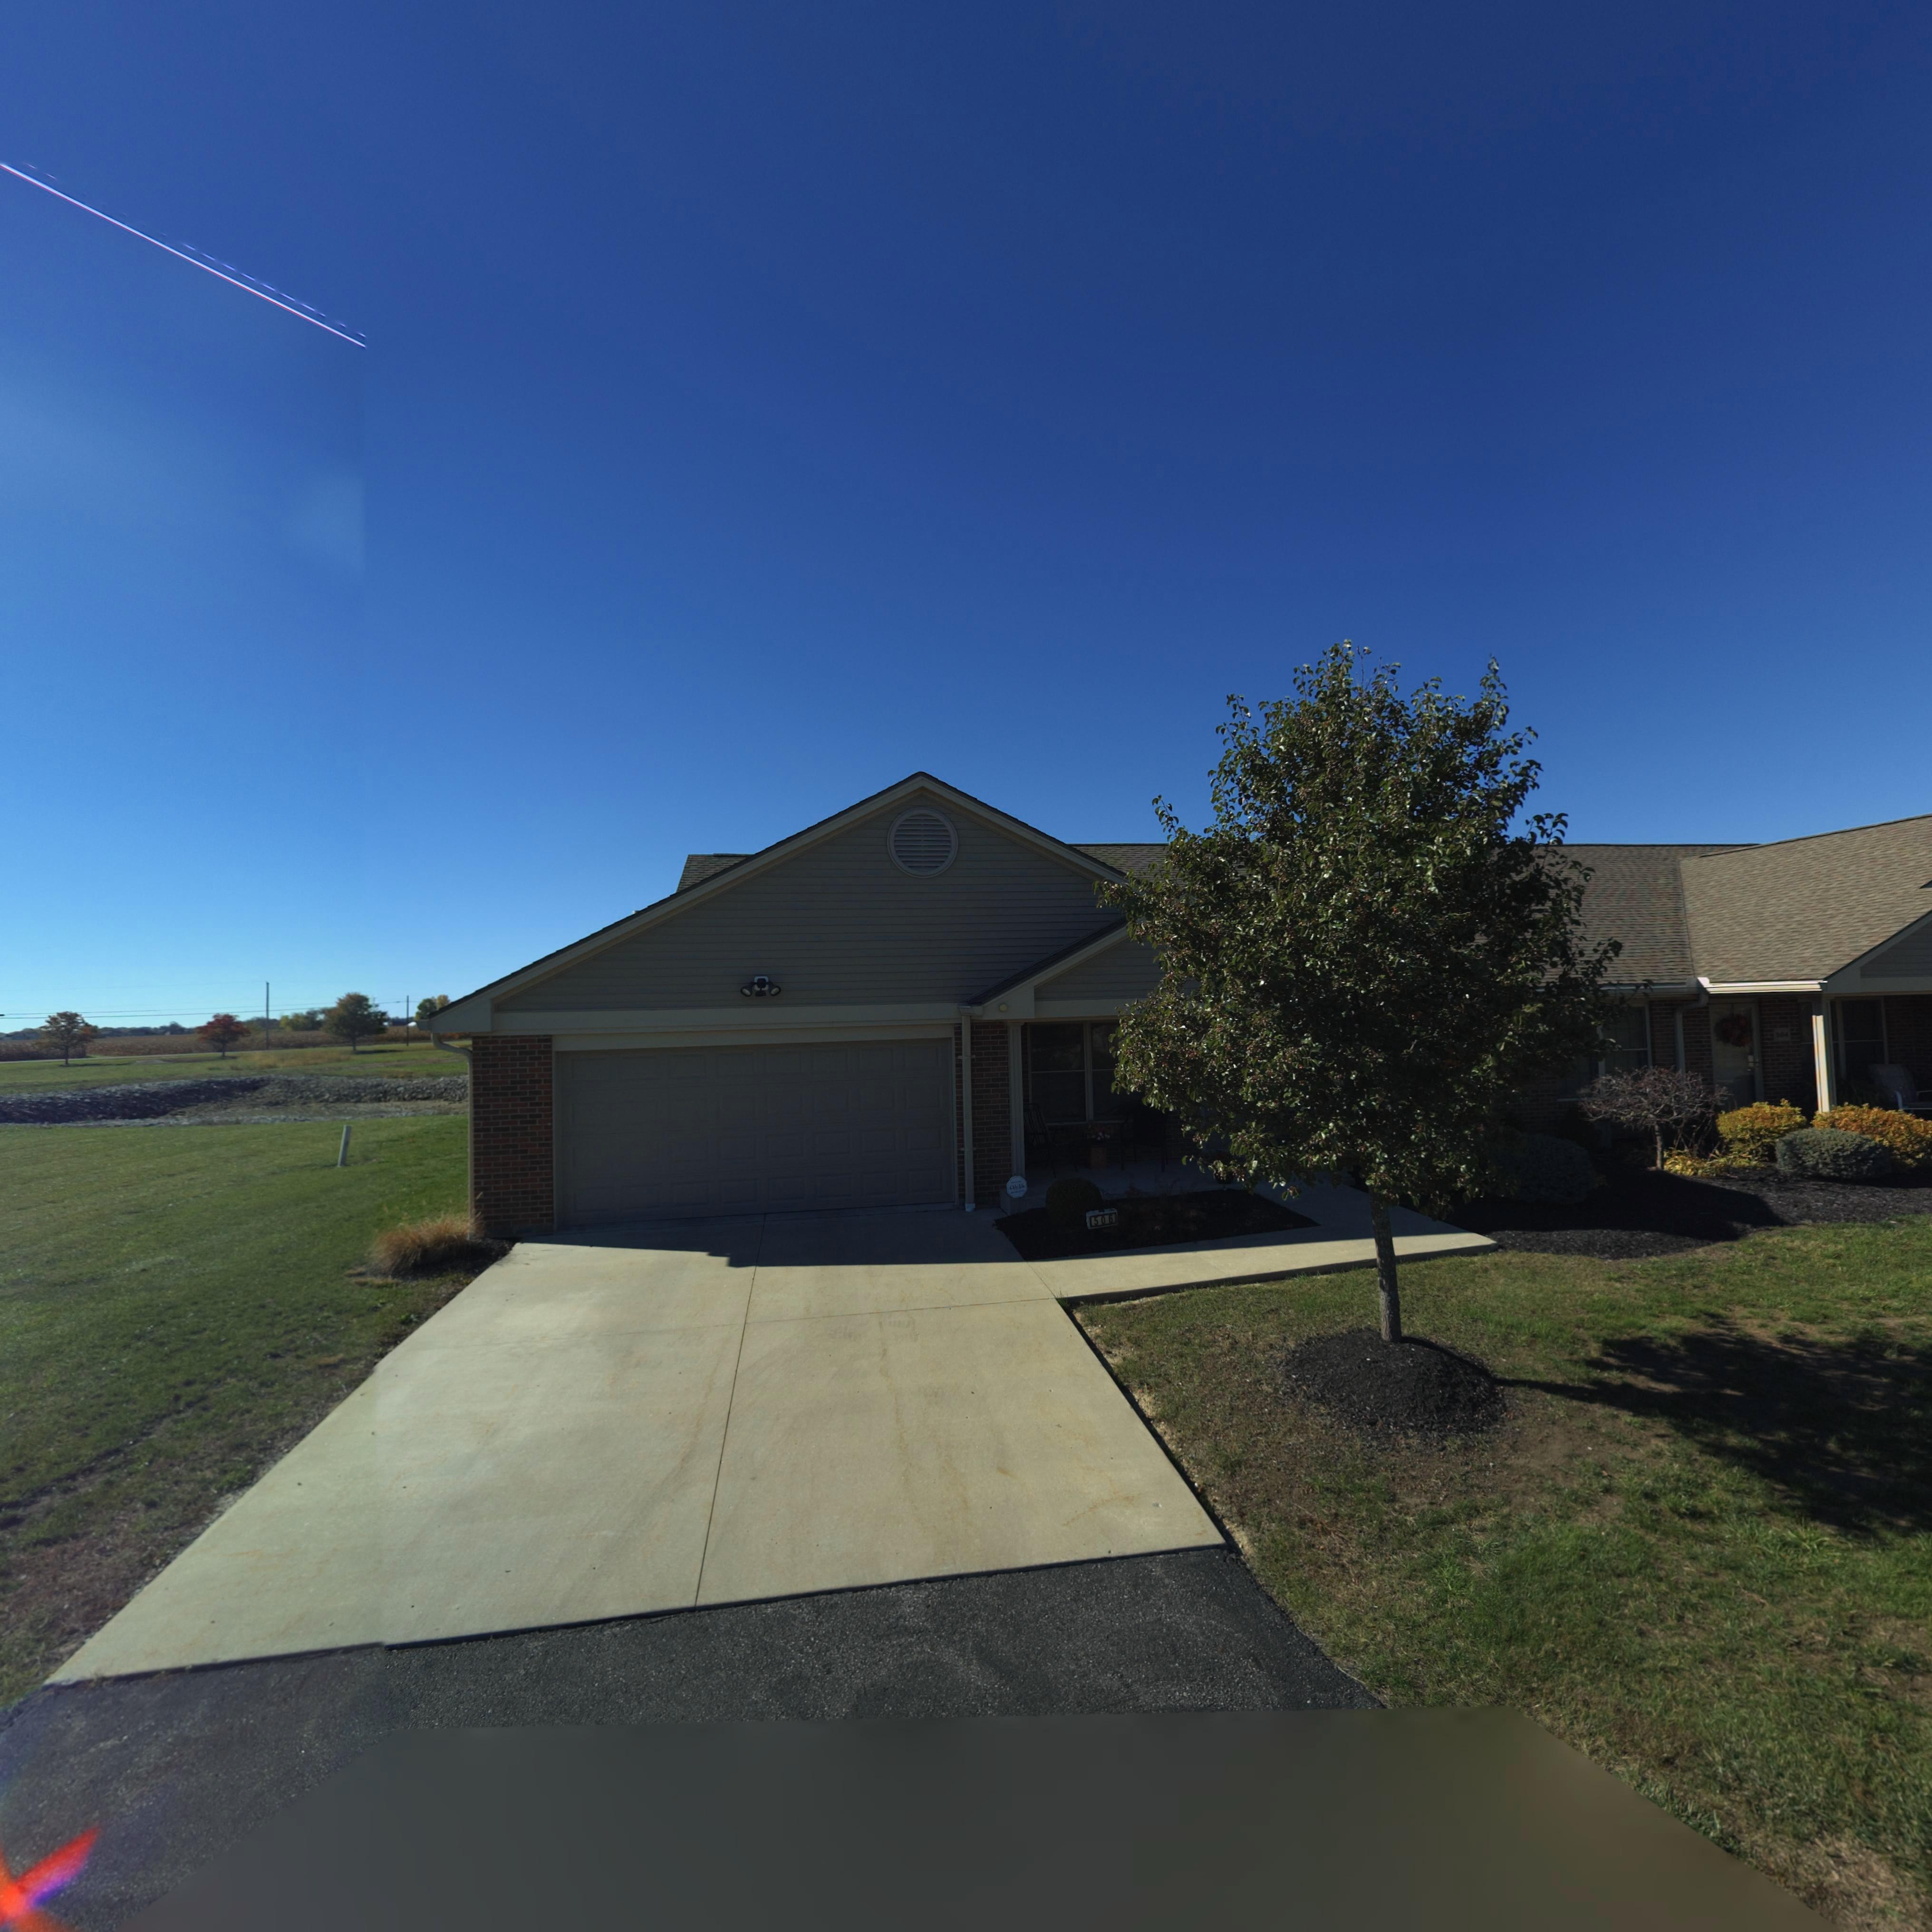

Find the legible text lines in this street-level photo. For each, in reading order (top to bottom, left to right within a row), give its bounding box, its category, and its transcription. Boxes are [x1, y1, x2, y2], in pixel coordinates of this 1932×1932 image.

[1775, 1032, 1789, 1038] StreetNumber: 504
[1092, 1214, 1113, 1226] StreetNumber: 506